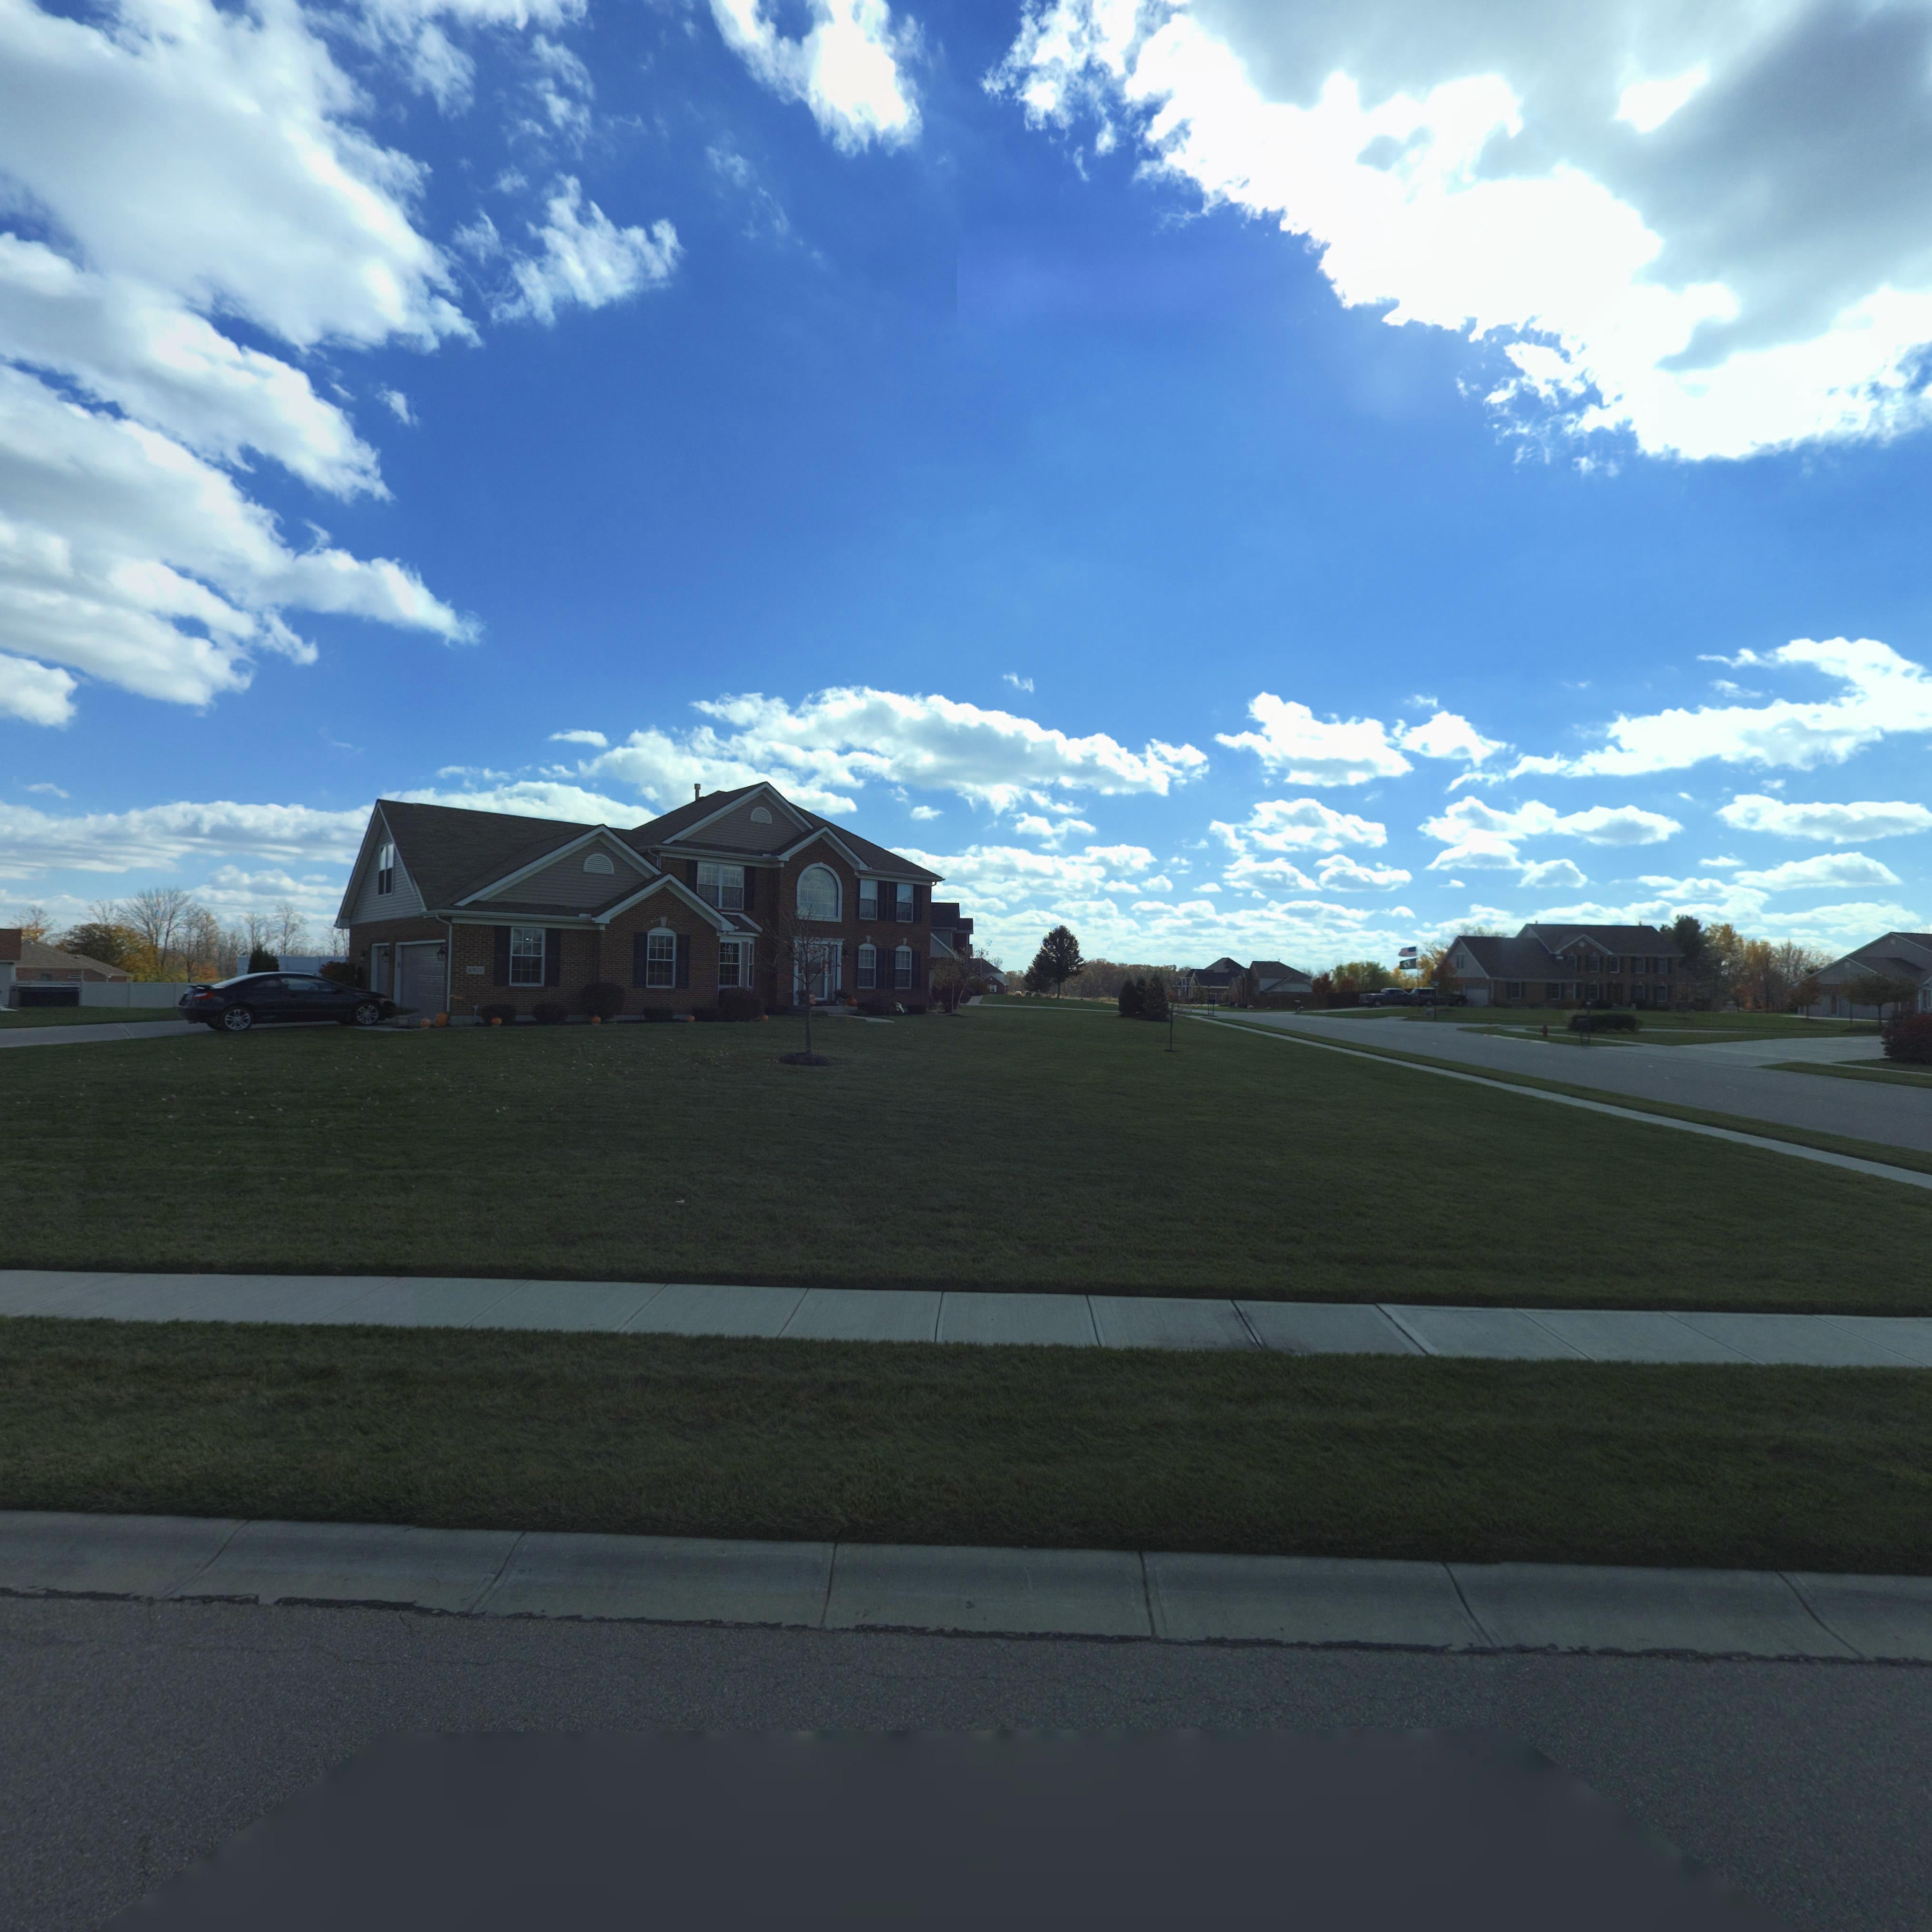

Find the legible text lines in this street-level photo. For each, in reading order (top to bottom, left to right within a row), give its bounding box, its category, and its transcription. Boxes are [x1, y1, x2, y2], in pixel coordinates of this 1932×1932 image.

[467, 967, 483, 973] StreetNumber: 6902